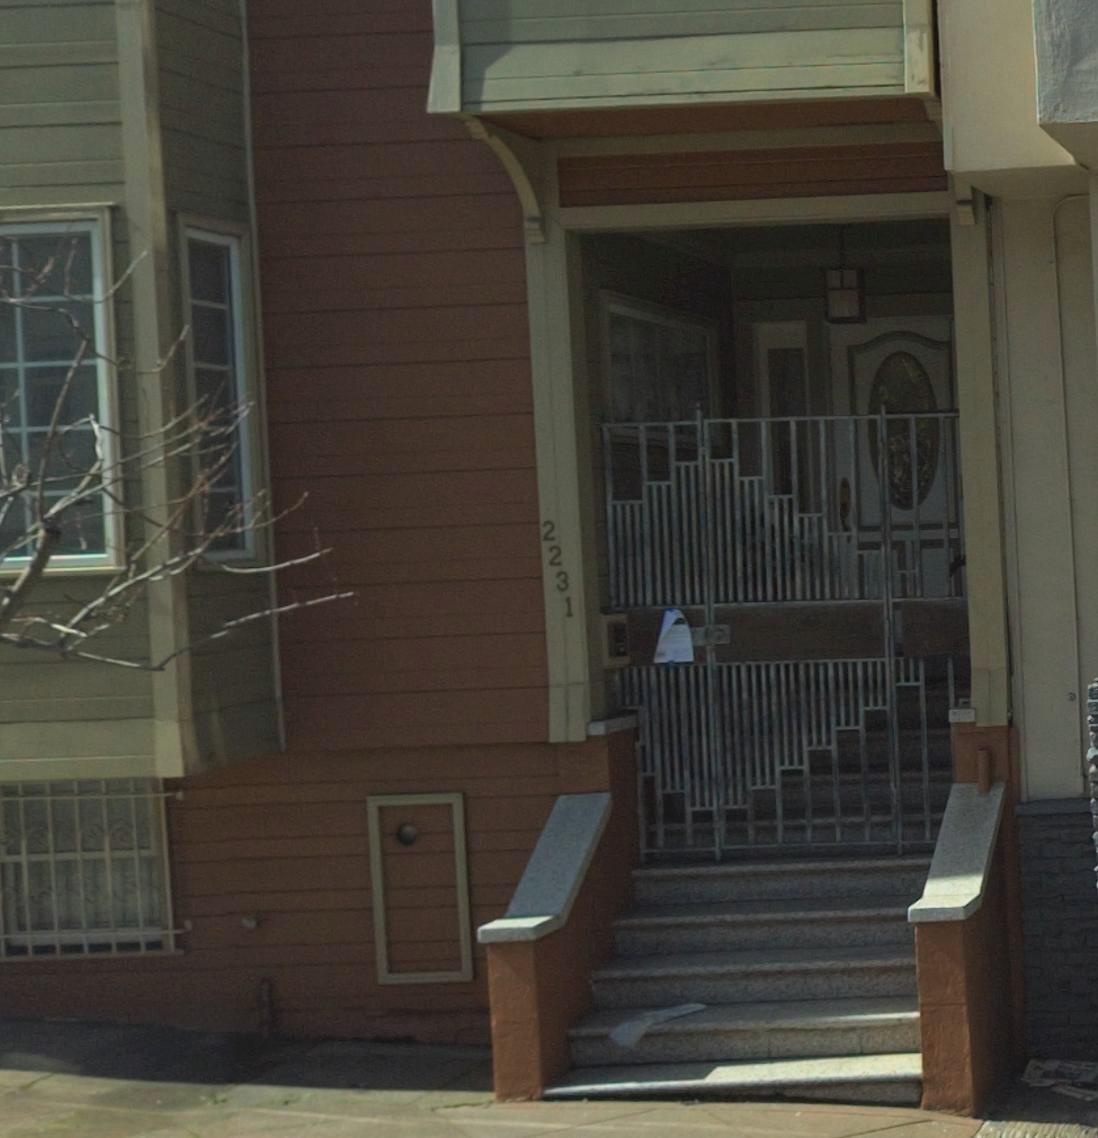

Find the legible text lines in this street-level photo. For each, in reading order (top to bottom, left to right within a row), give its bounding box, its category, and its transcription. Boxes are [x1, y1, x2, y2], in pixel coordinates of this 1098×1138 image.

[538, 519, 576, 618] StreetNumber: 2231